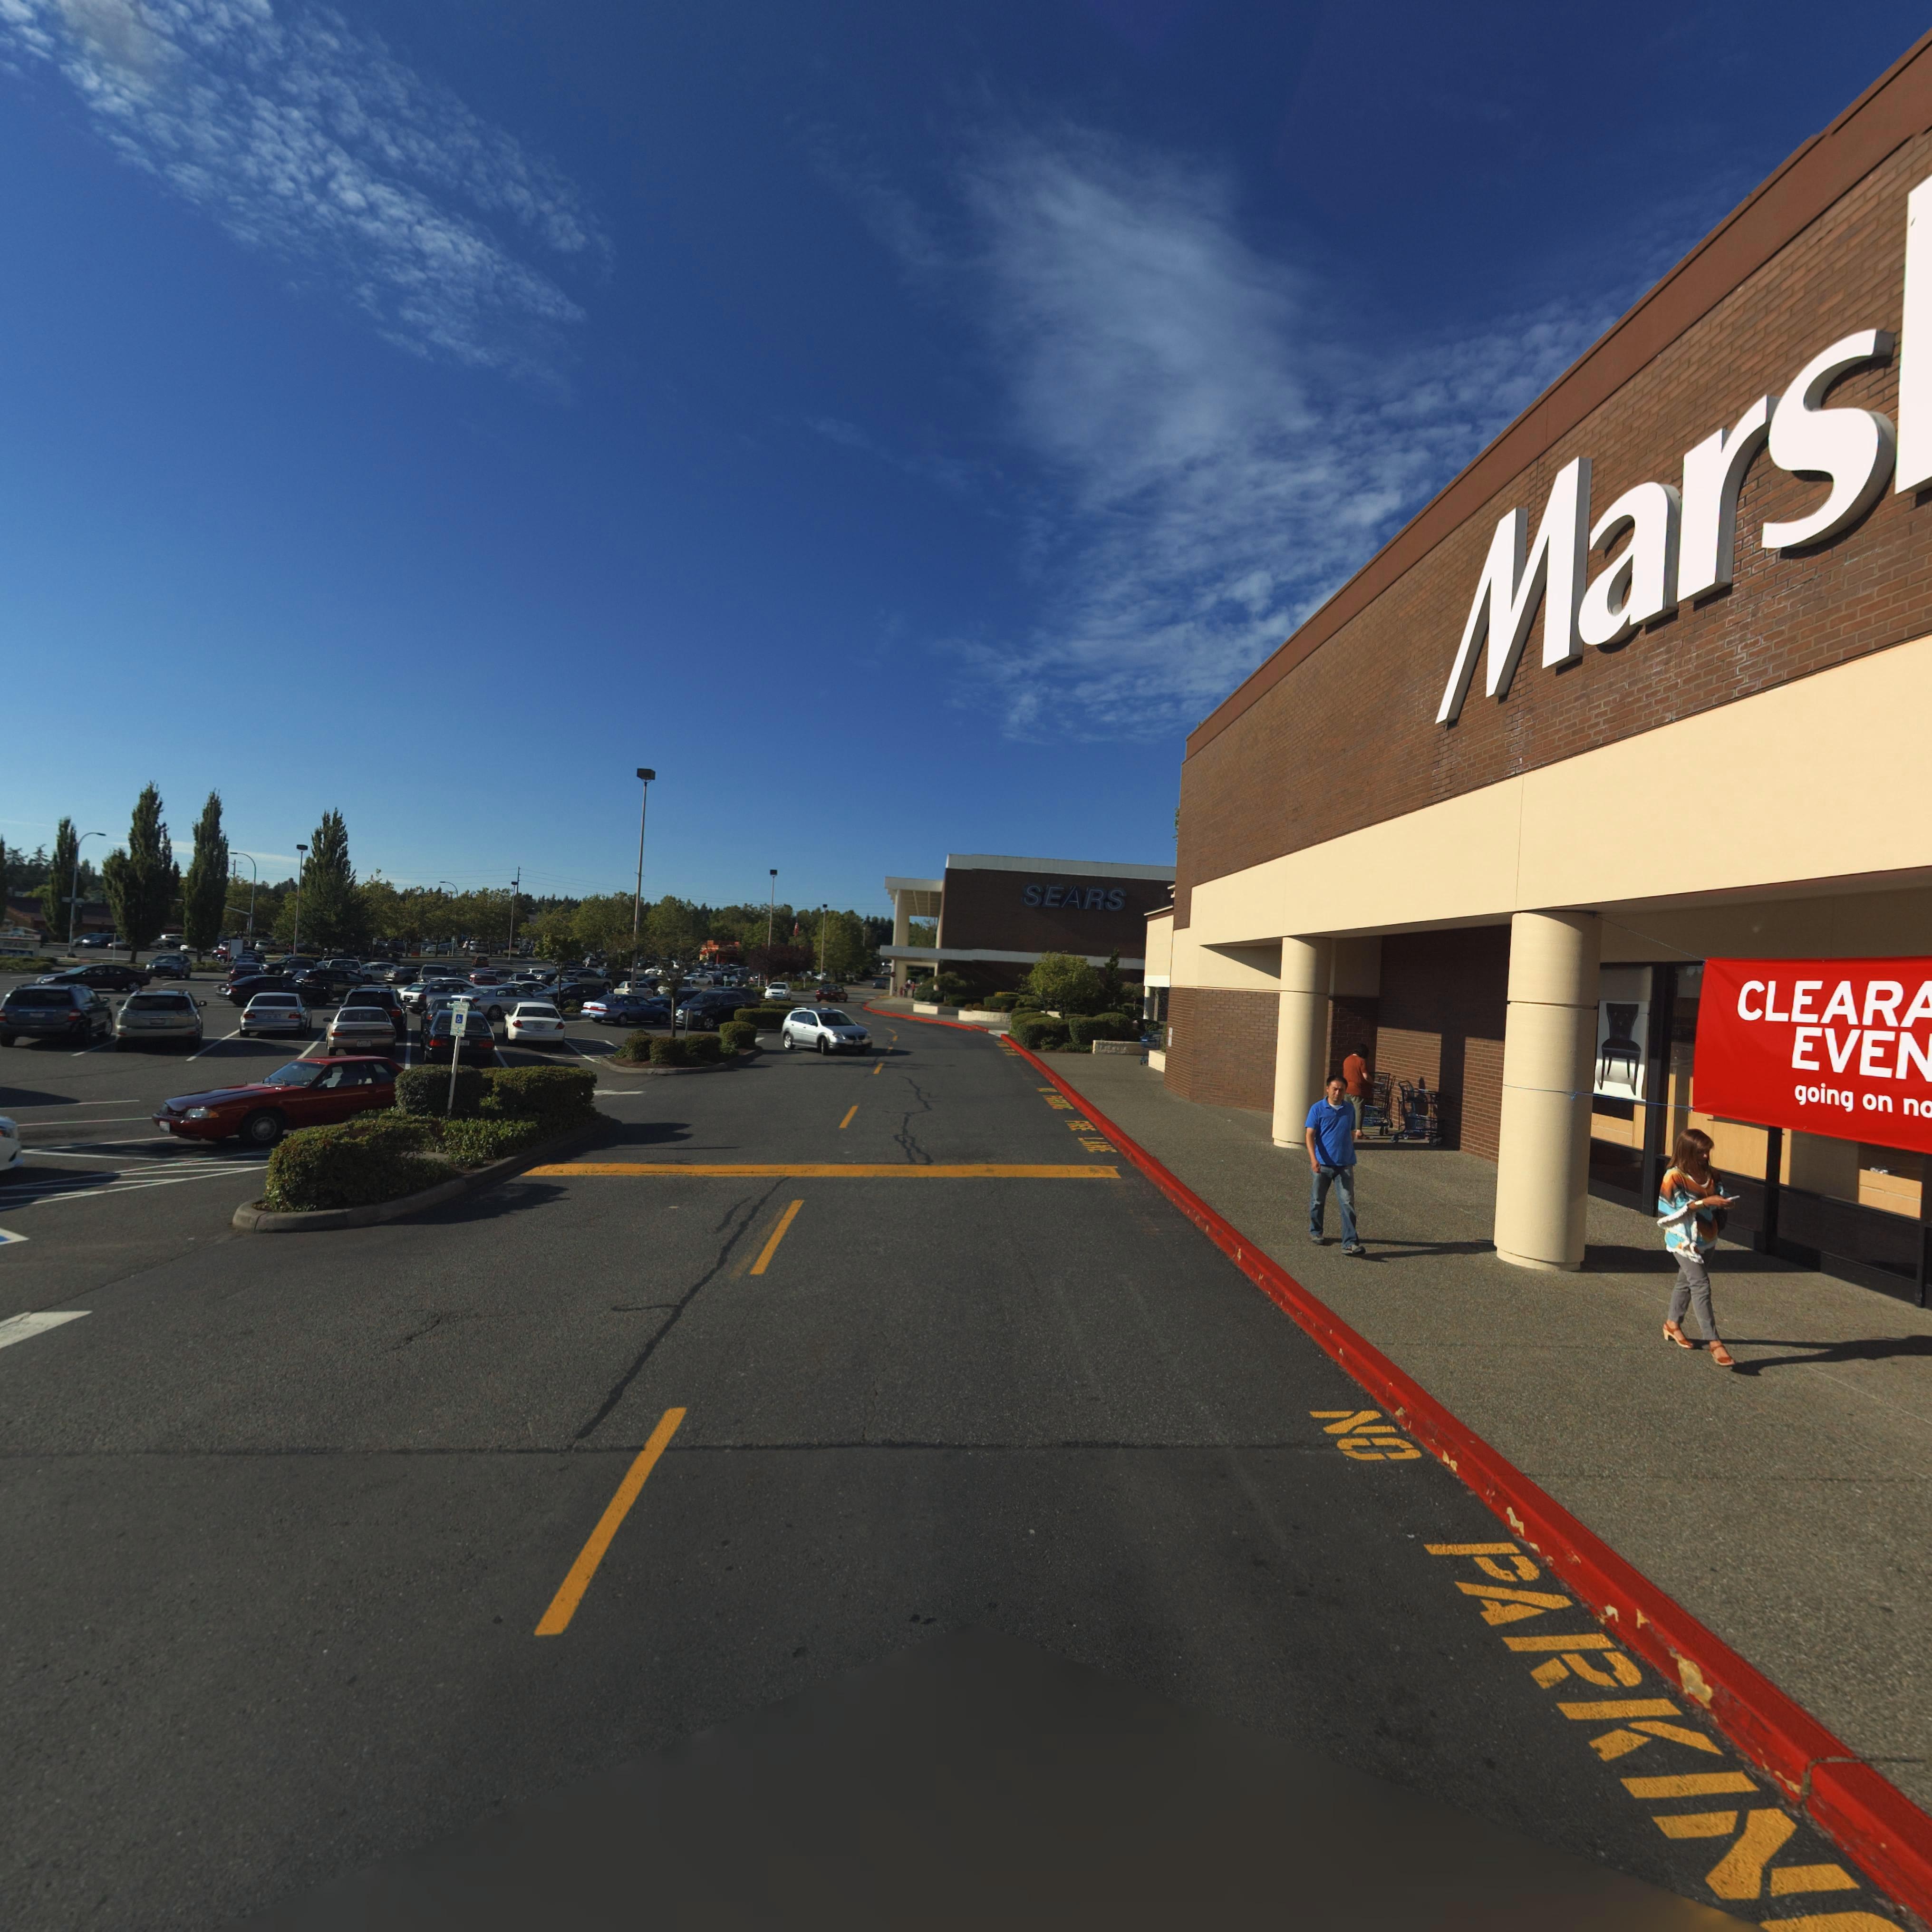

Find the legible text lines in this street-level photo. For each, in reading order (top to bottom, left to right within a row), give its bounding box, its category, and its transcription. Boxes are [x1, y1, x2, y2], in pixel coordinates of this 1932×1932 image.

[1421, 384, 1774, 743] BusinessName: Mar
[1022, 880, 1126, 914] BusinessName: SEARS